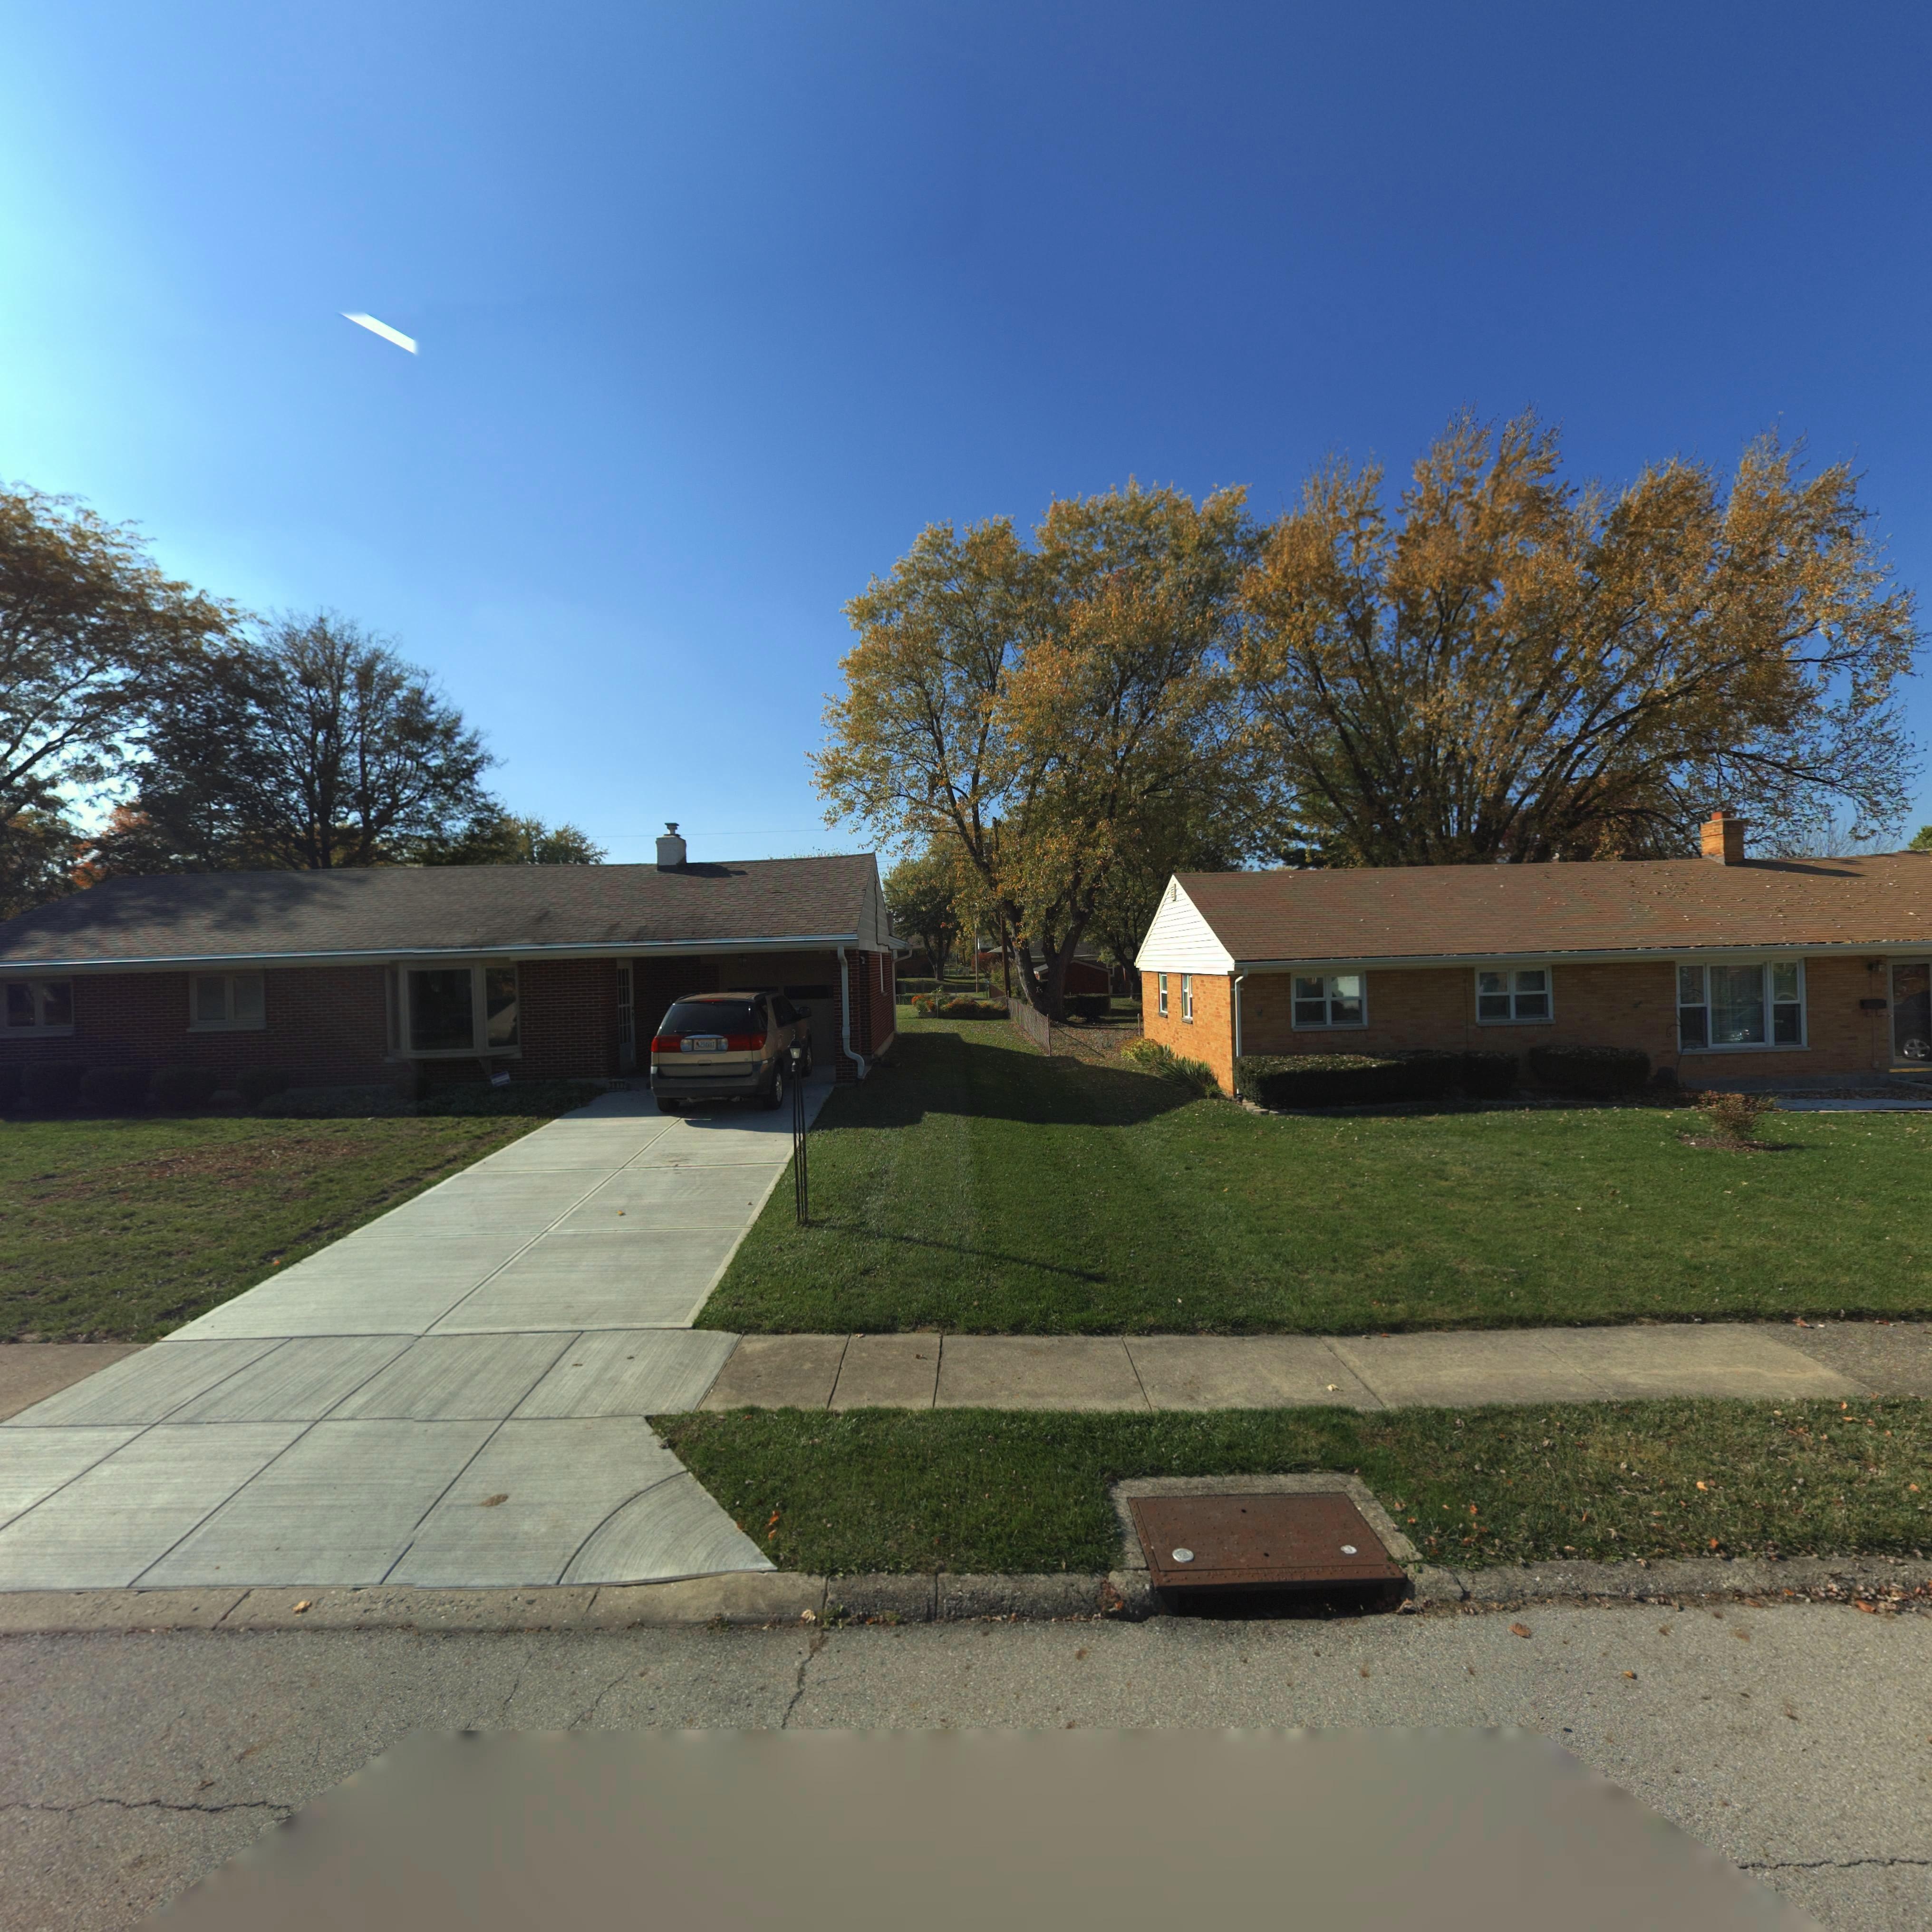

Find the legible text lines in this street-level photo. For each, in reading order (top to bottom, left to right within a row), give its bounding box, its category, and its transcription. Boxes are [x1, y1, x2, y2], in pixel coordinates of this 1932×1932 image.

[609, 1081, 625, 1090] StreetNumber: **17